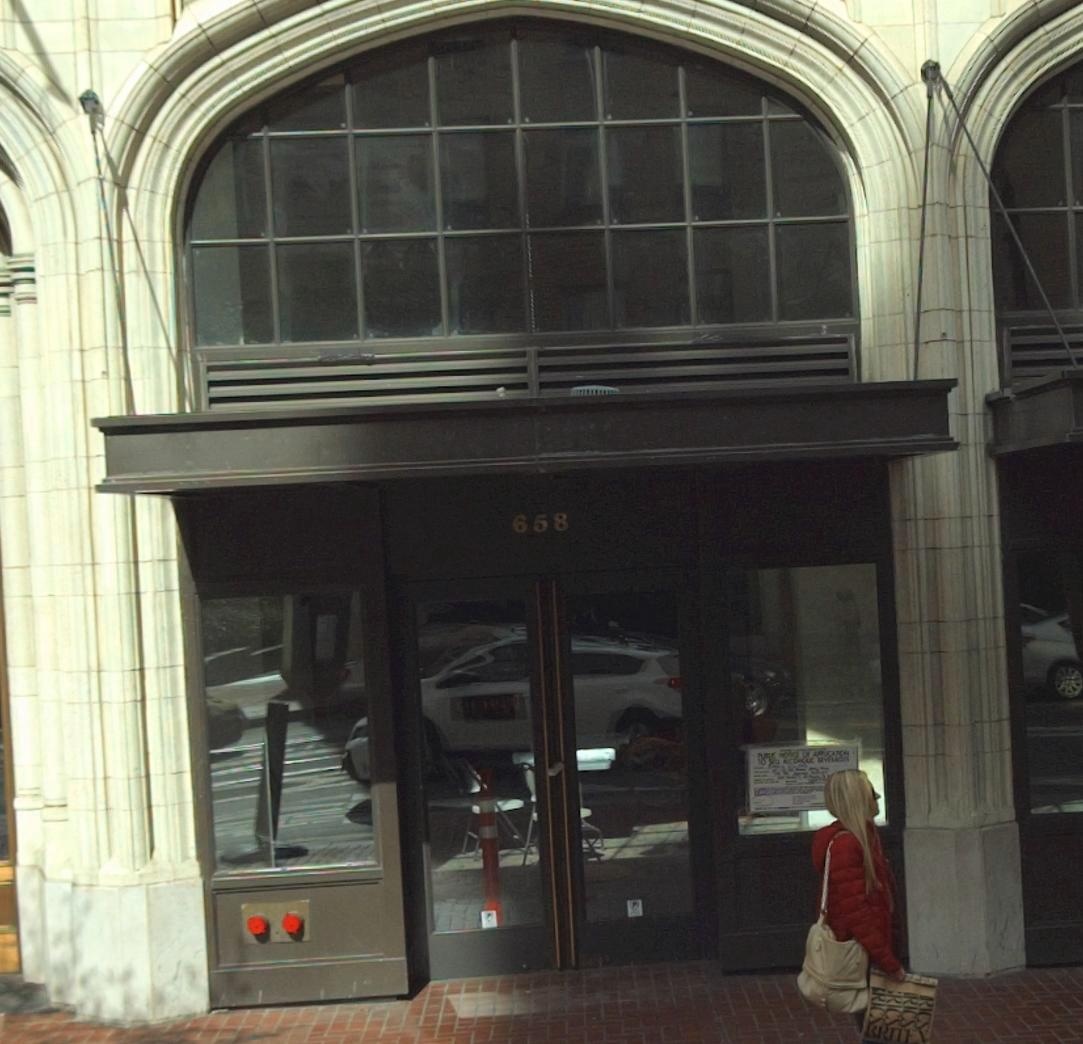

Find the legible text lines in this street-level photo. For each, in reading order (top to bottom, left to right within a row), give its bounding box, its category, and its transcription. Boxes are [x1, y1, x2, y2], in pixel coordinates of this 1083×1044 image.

[508, 510, 572, 537] StreetNumber: 658
[758, 757, 768, 768] None: O